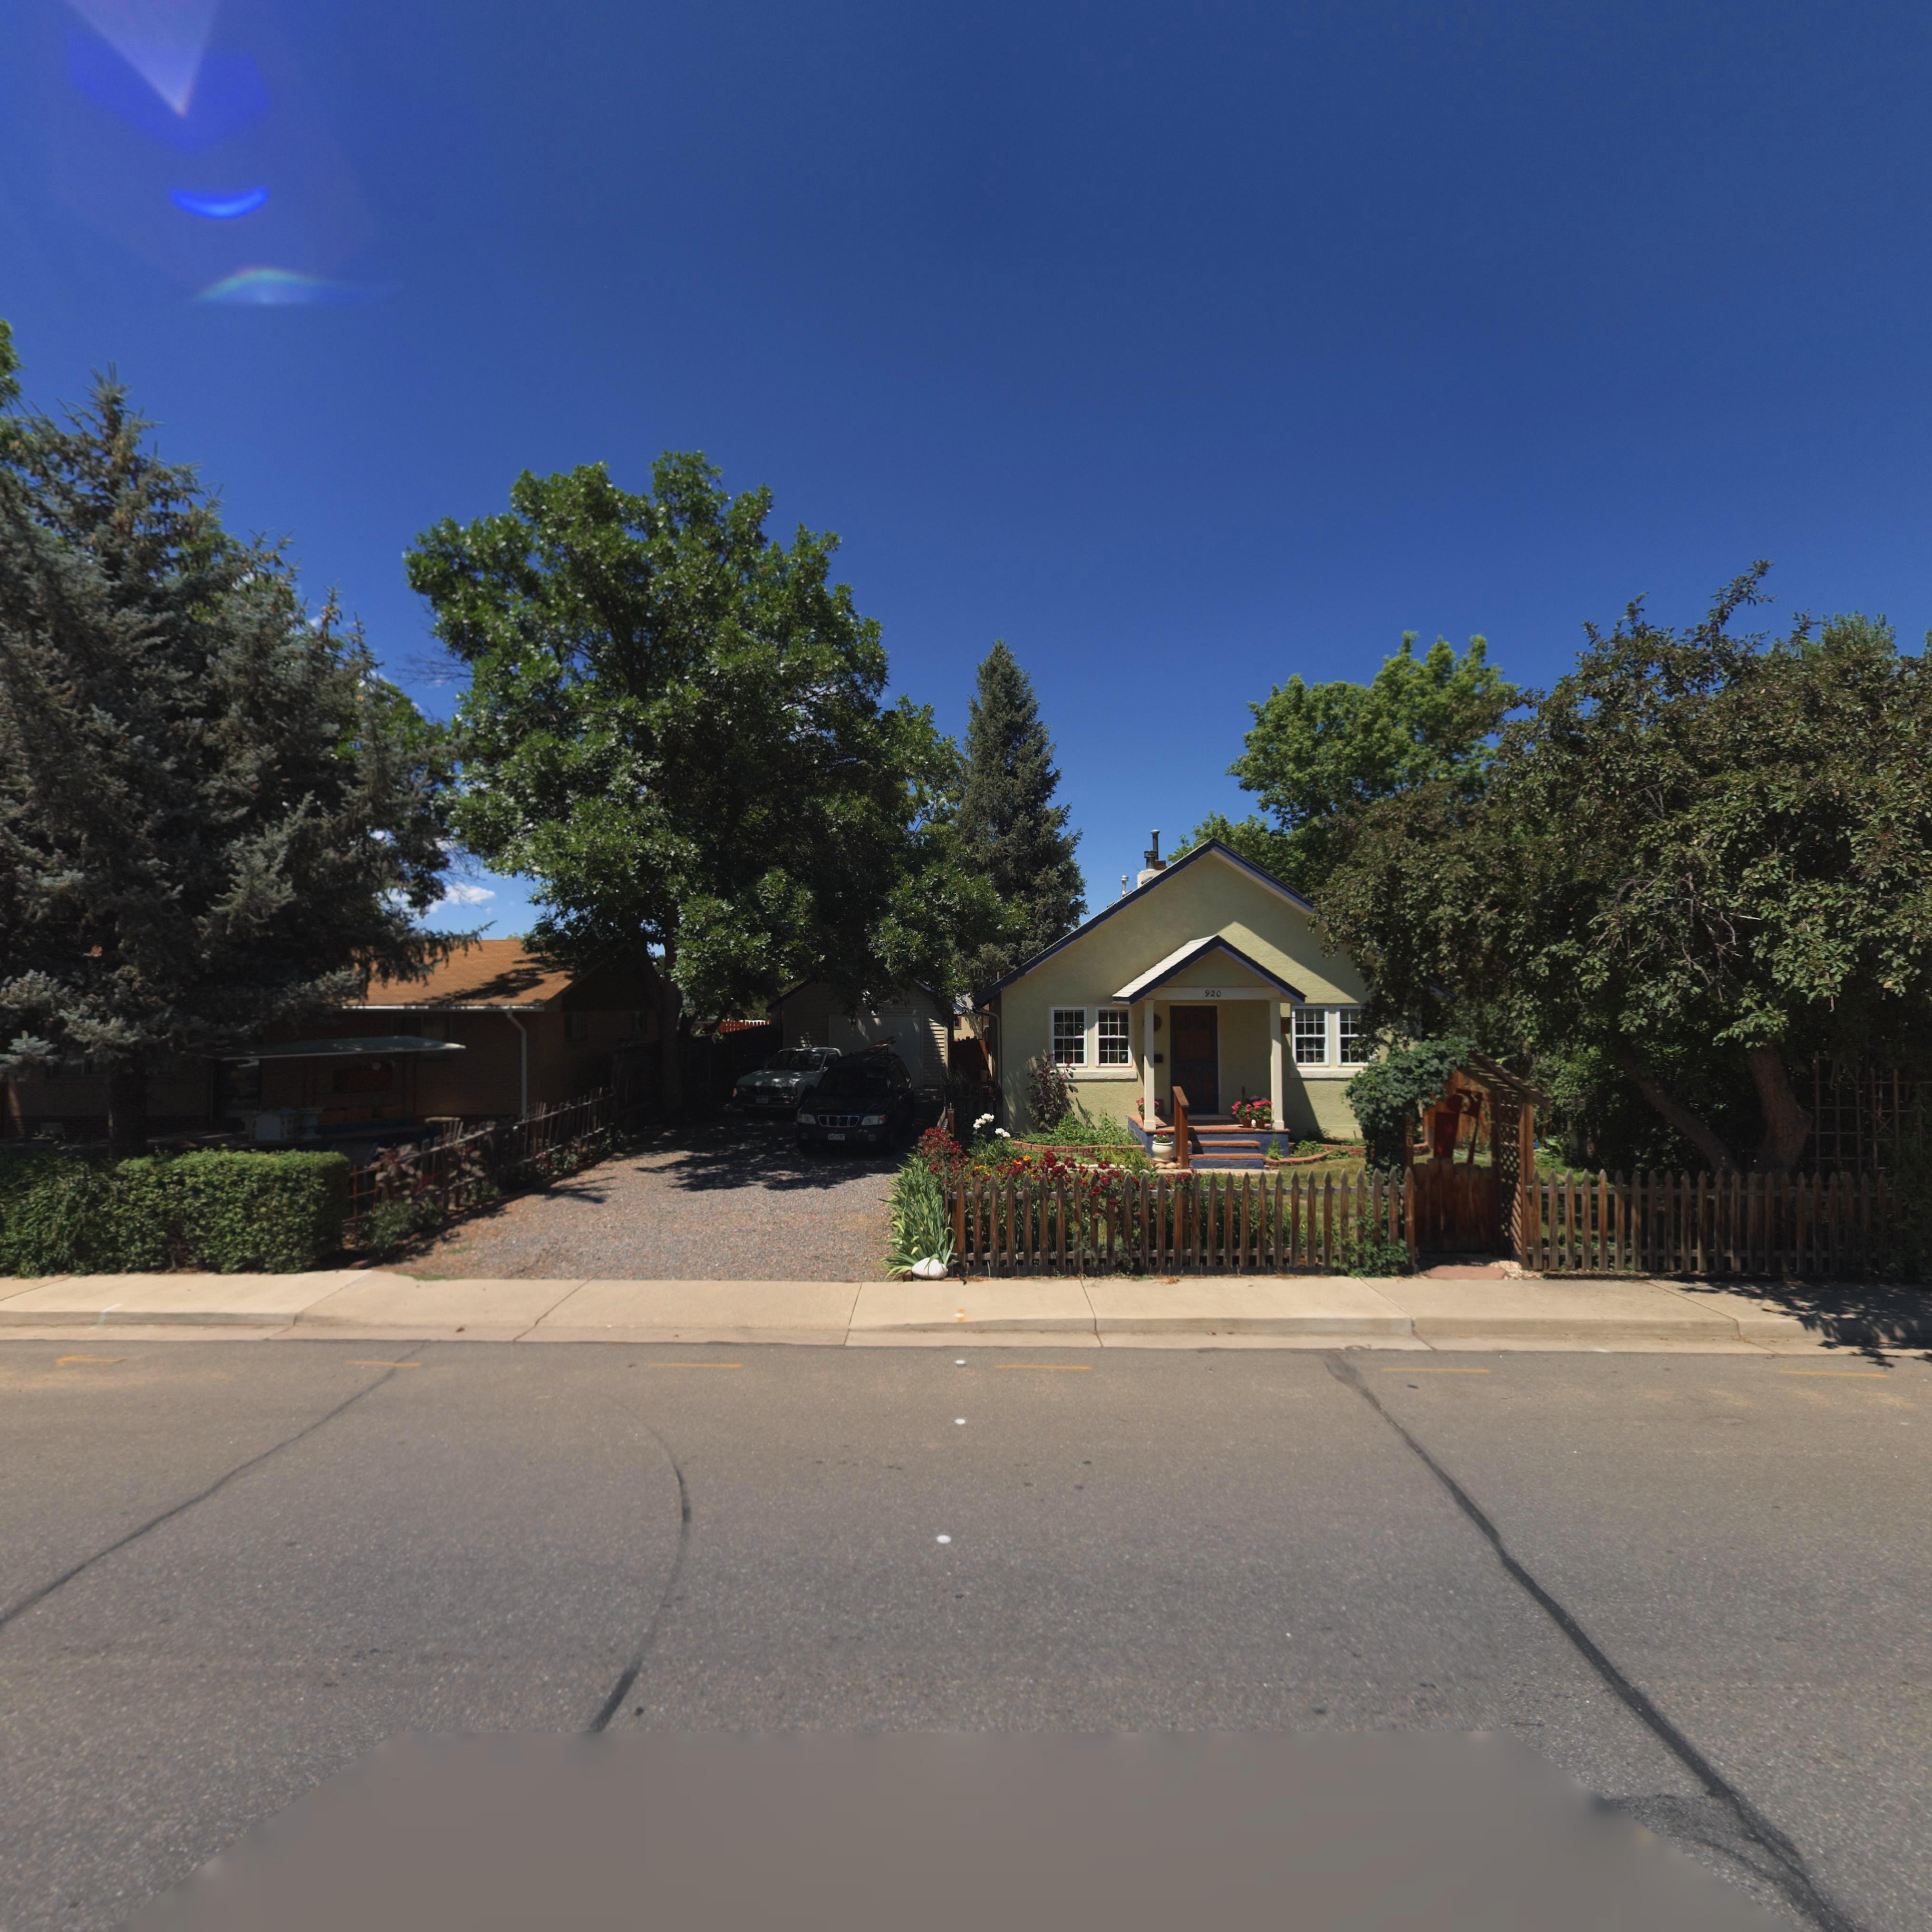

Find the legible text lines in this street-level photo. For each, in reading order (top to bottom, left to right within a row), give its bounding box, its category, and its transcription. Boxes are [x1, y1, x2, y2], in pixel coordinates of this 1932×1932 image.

[1205, 989, 1221, 997] StreetNumber: 920
[1405, 1114, 1413, 1147] StreetNumber: 920